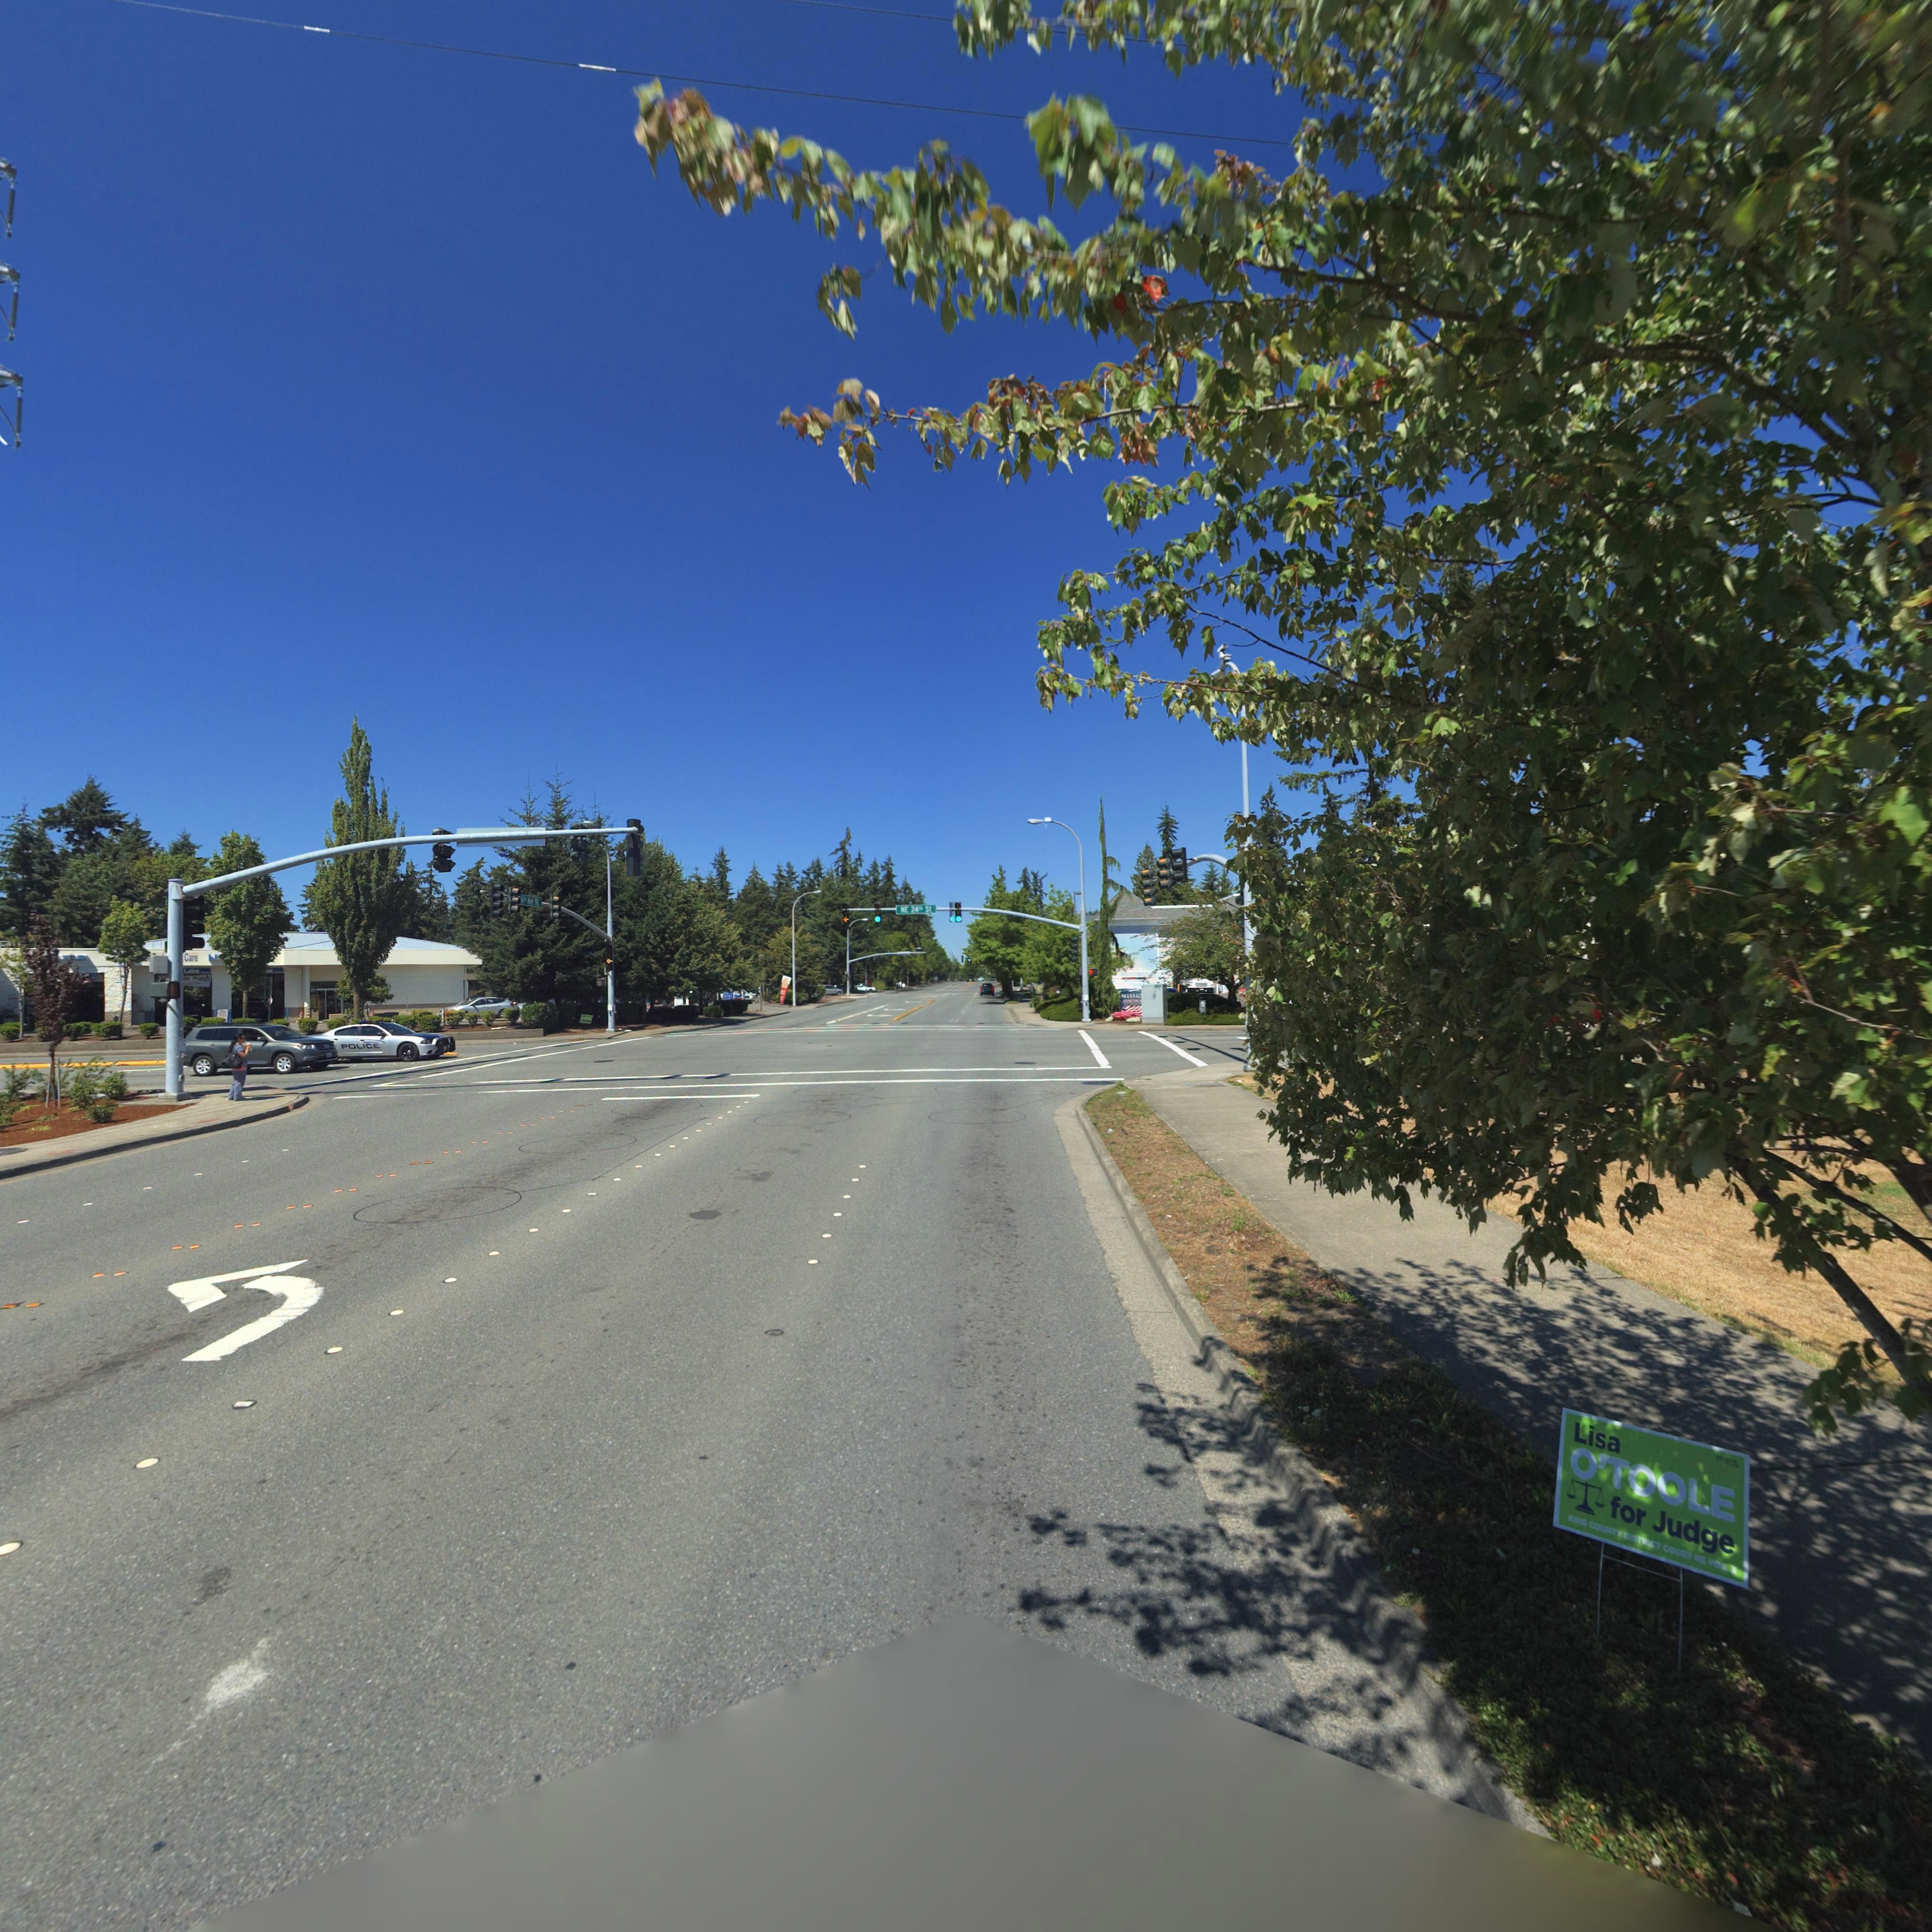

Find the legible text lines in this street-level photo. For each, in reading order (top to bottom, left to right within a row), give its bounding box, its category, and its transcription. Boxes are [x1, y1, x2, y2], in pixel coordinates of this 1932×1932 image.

[521, 896, 540, 906] StreetName: 5* Ave **
[900, 905, 932, 913] StreetName: NE 24** St
[1121, 993, 1142, 998] BusinessName: MISSIO